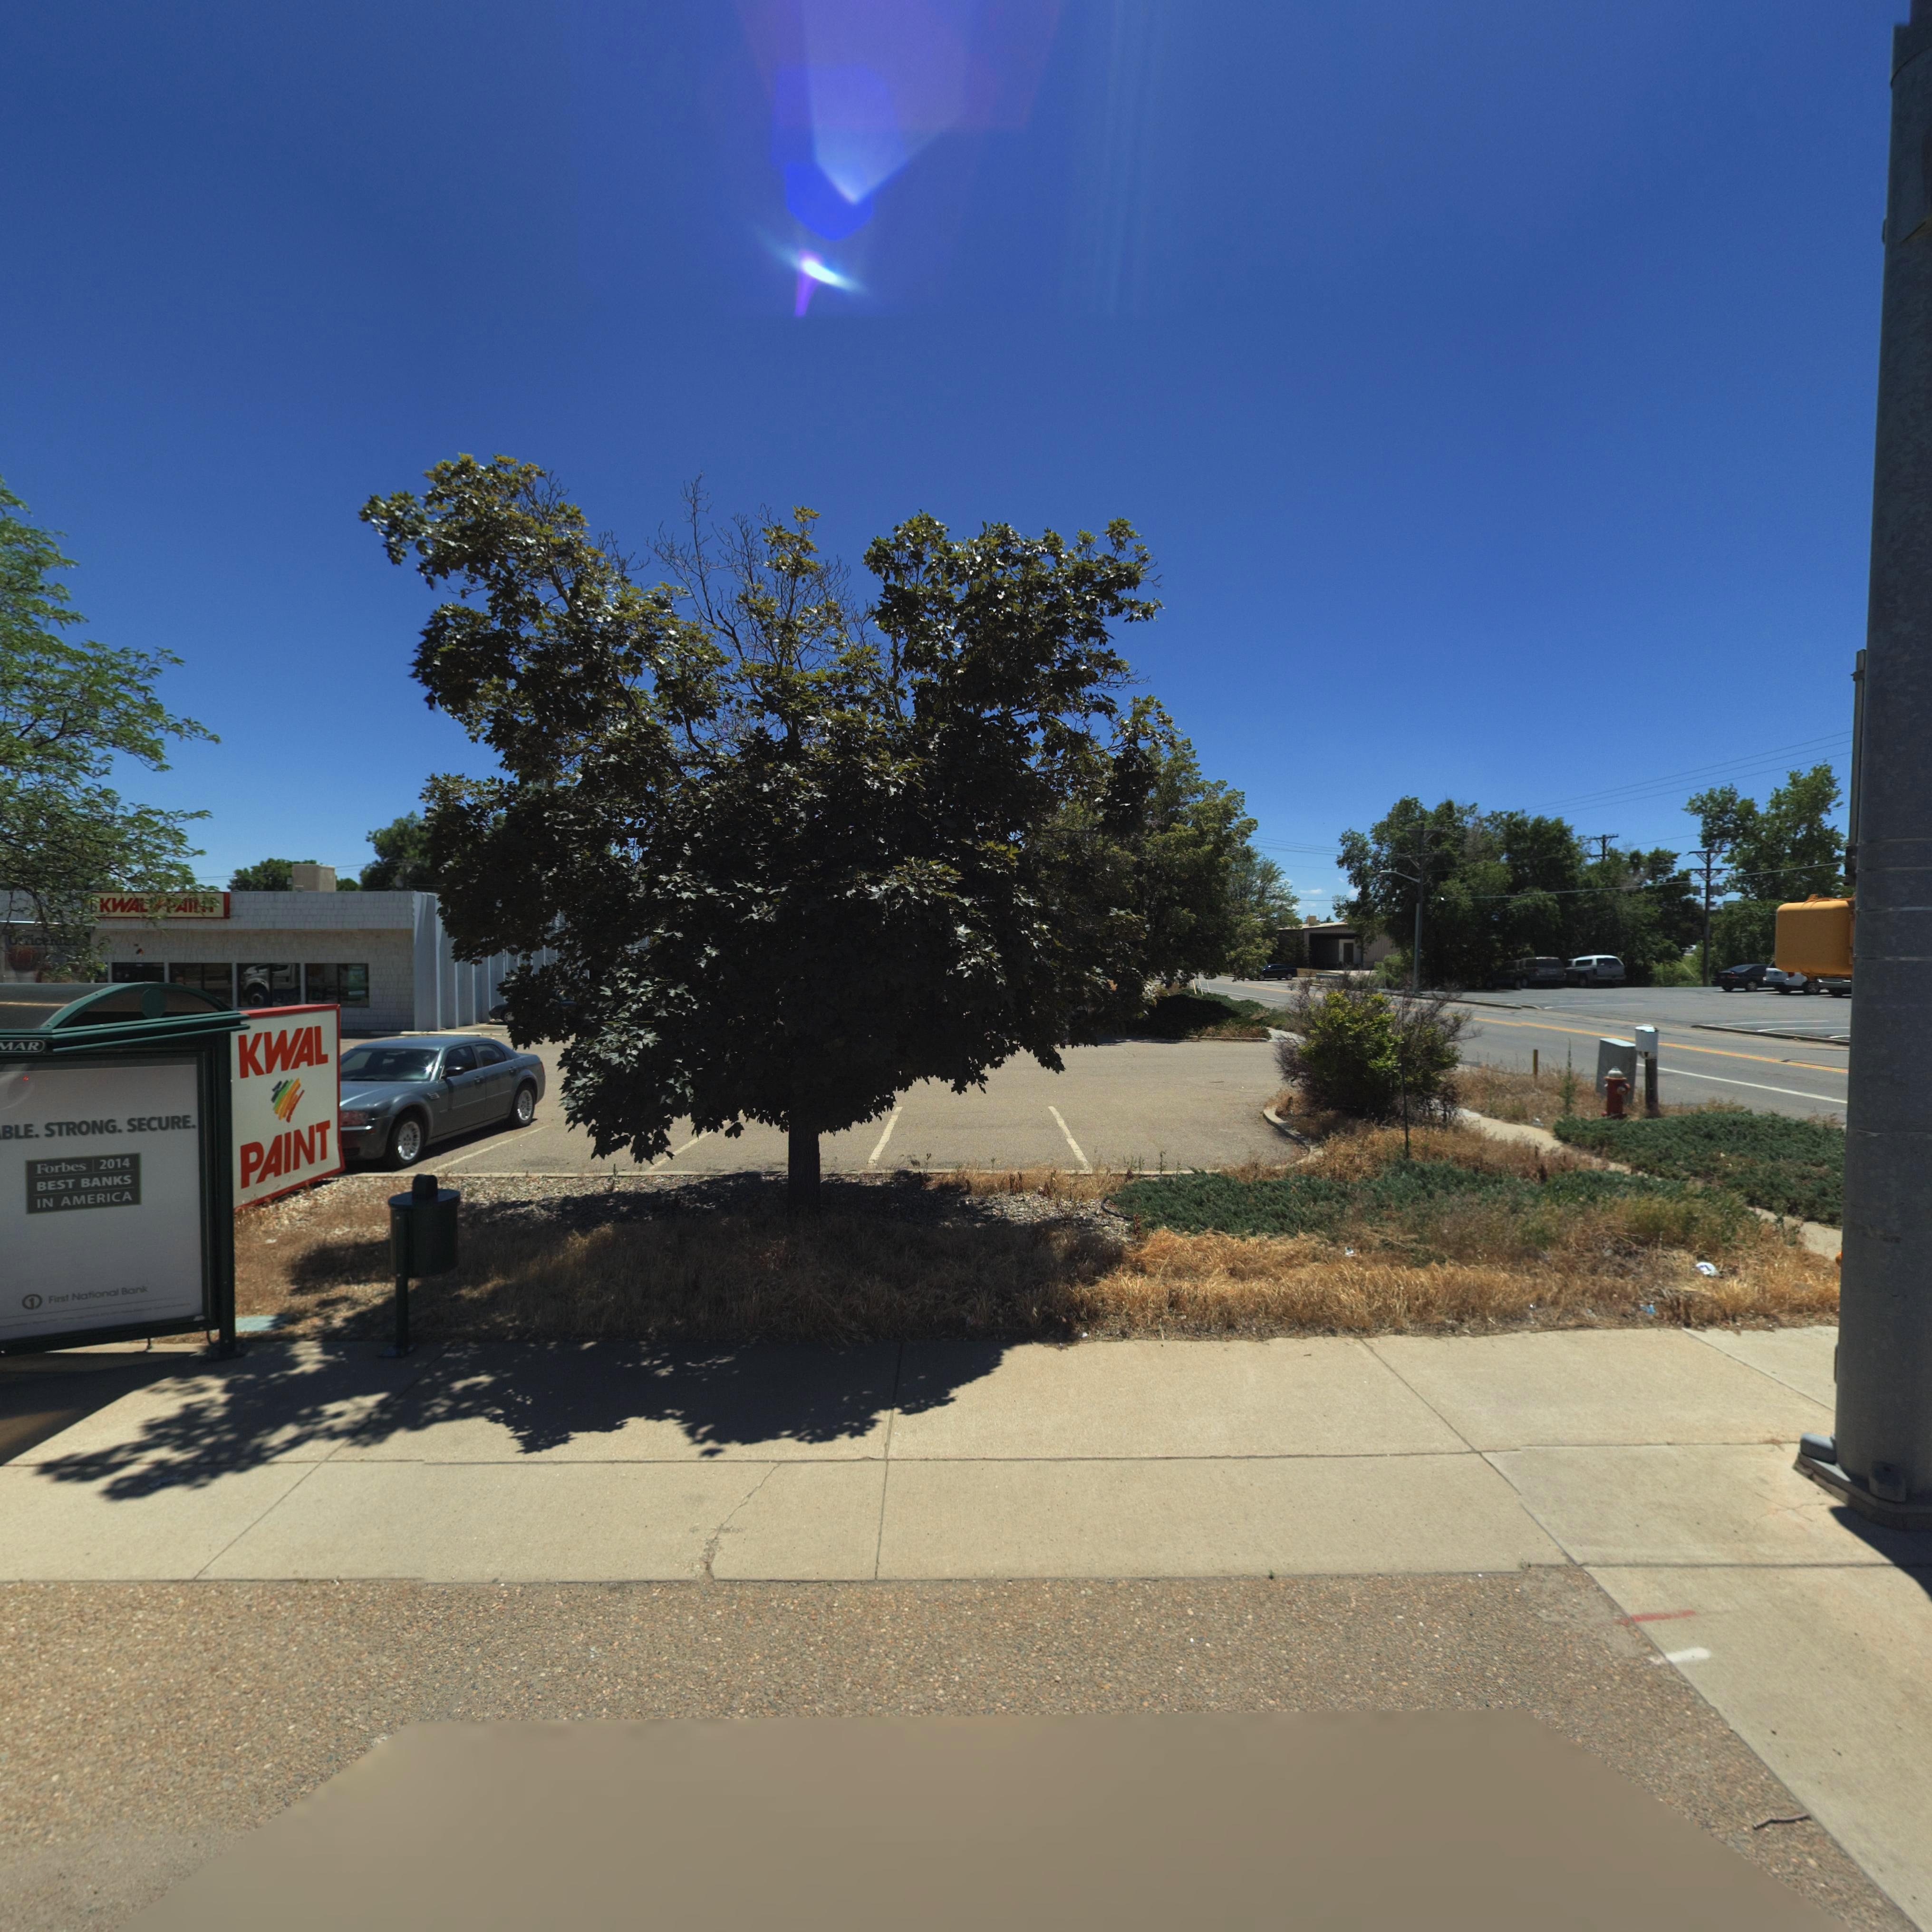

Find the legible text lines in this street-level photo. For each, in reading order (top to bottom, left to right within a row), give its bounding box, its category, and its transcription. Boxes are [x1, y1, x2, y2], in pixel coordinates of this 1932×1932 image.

[99, 897, 216, 913] BusinessName: KWAL *AI**
[236, 1024, 330, 1080] BusinessName: KWAL
[238, 1118, 331, 1191] BusinessName: PAINT